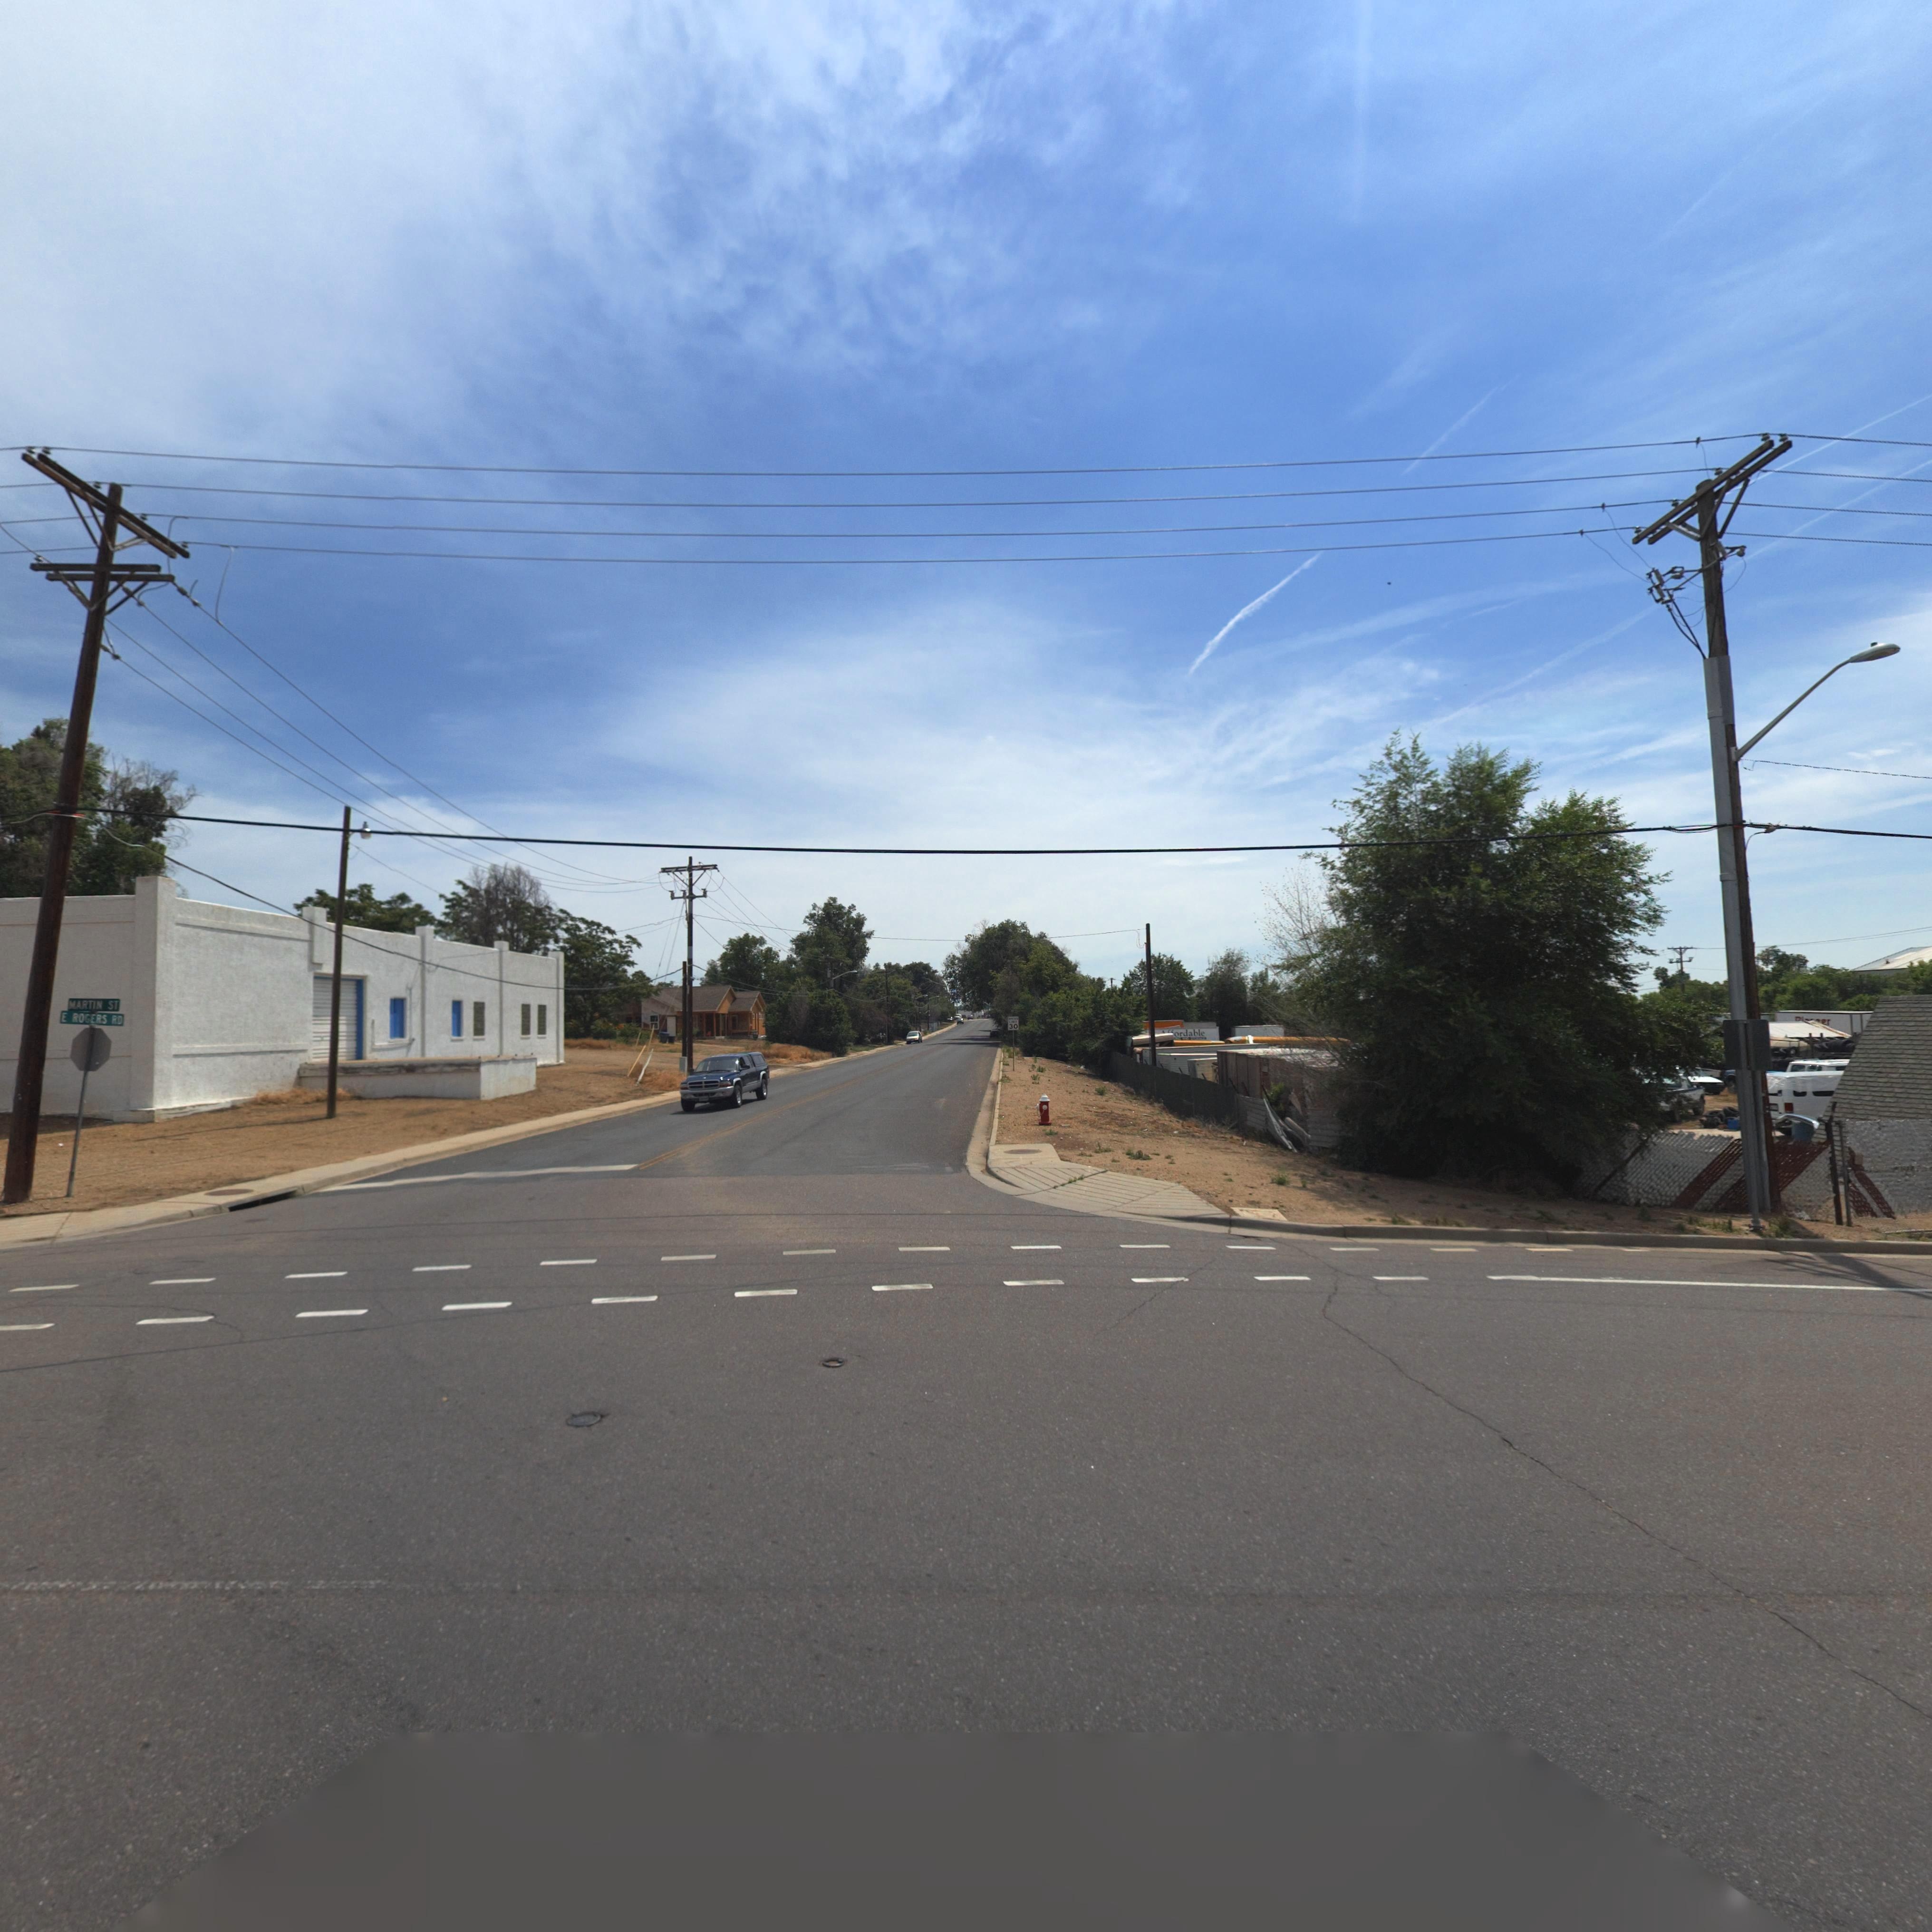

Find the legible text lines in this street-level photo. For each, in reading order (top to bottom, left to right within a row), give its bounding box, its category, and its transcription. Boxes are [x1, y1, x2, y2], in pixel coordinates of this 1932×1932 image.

[68, 999, 119, 1010] StreetName: MARTIN ST
[61, 1012, 124, 1025] StreetName: E ROGERS RD